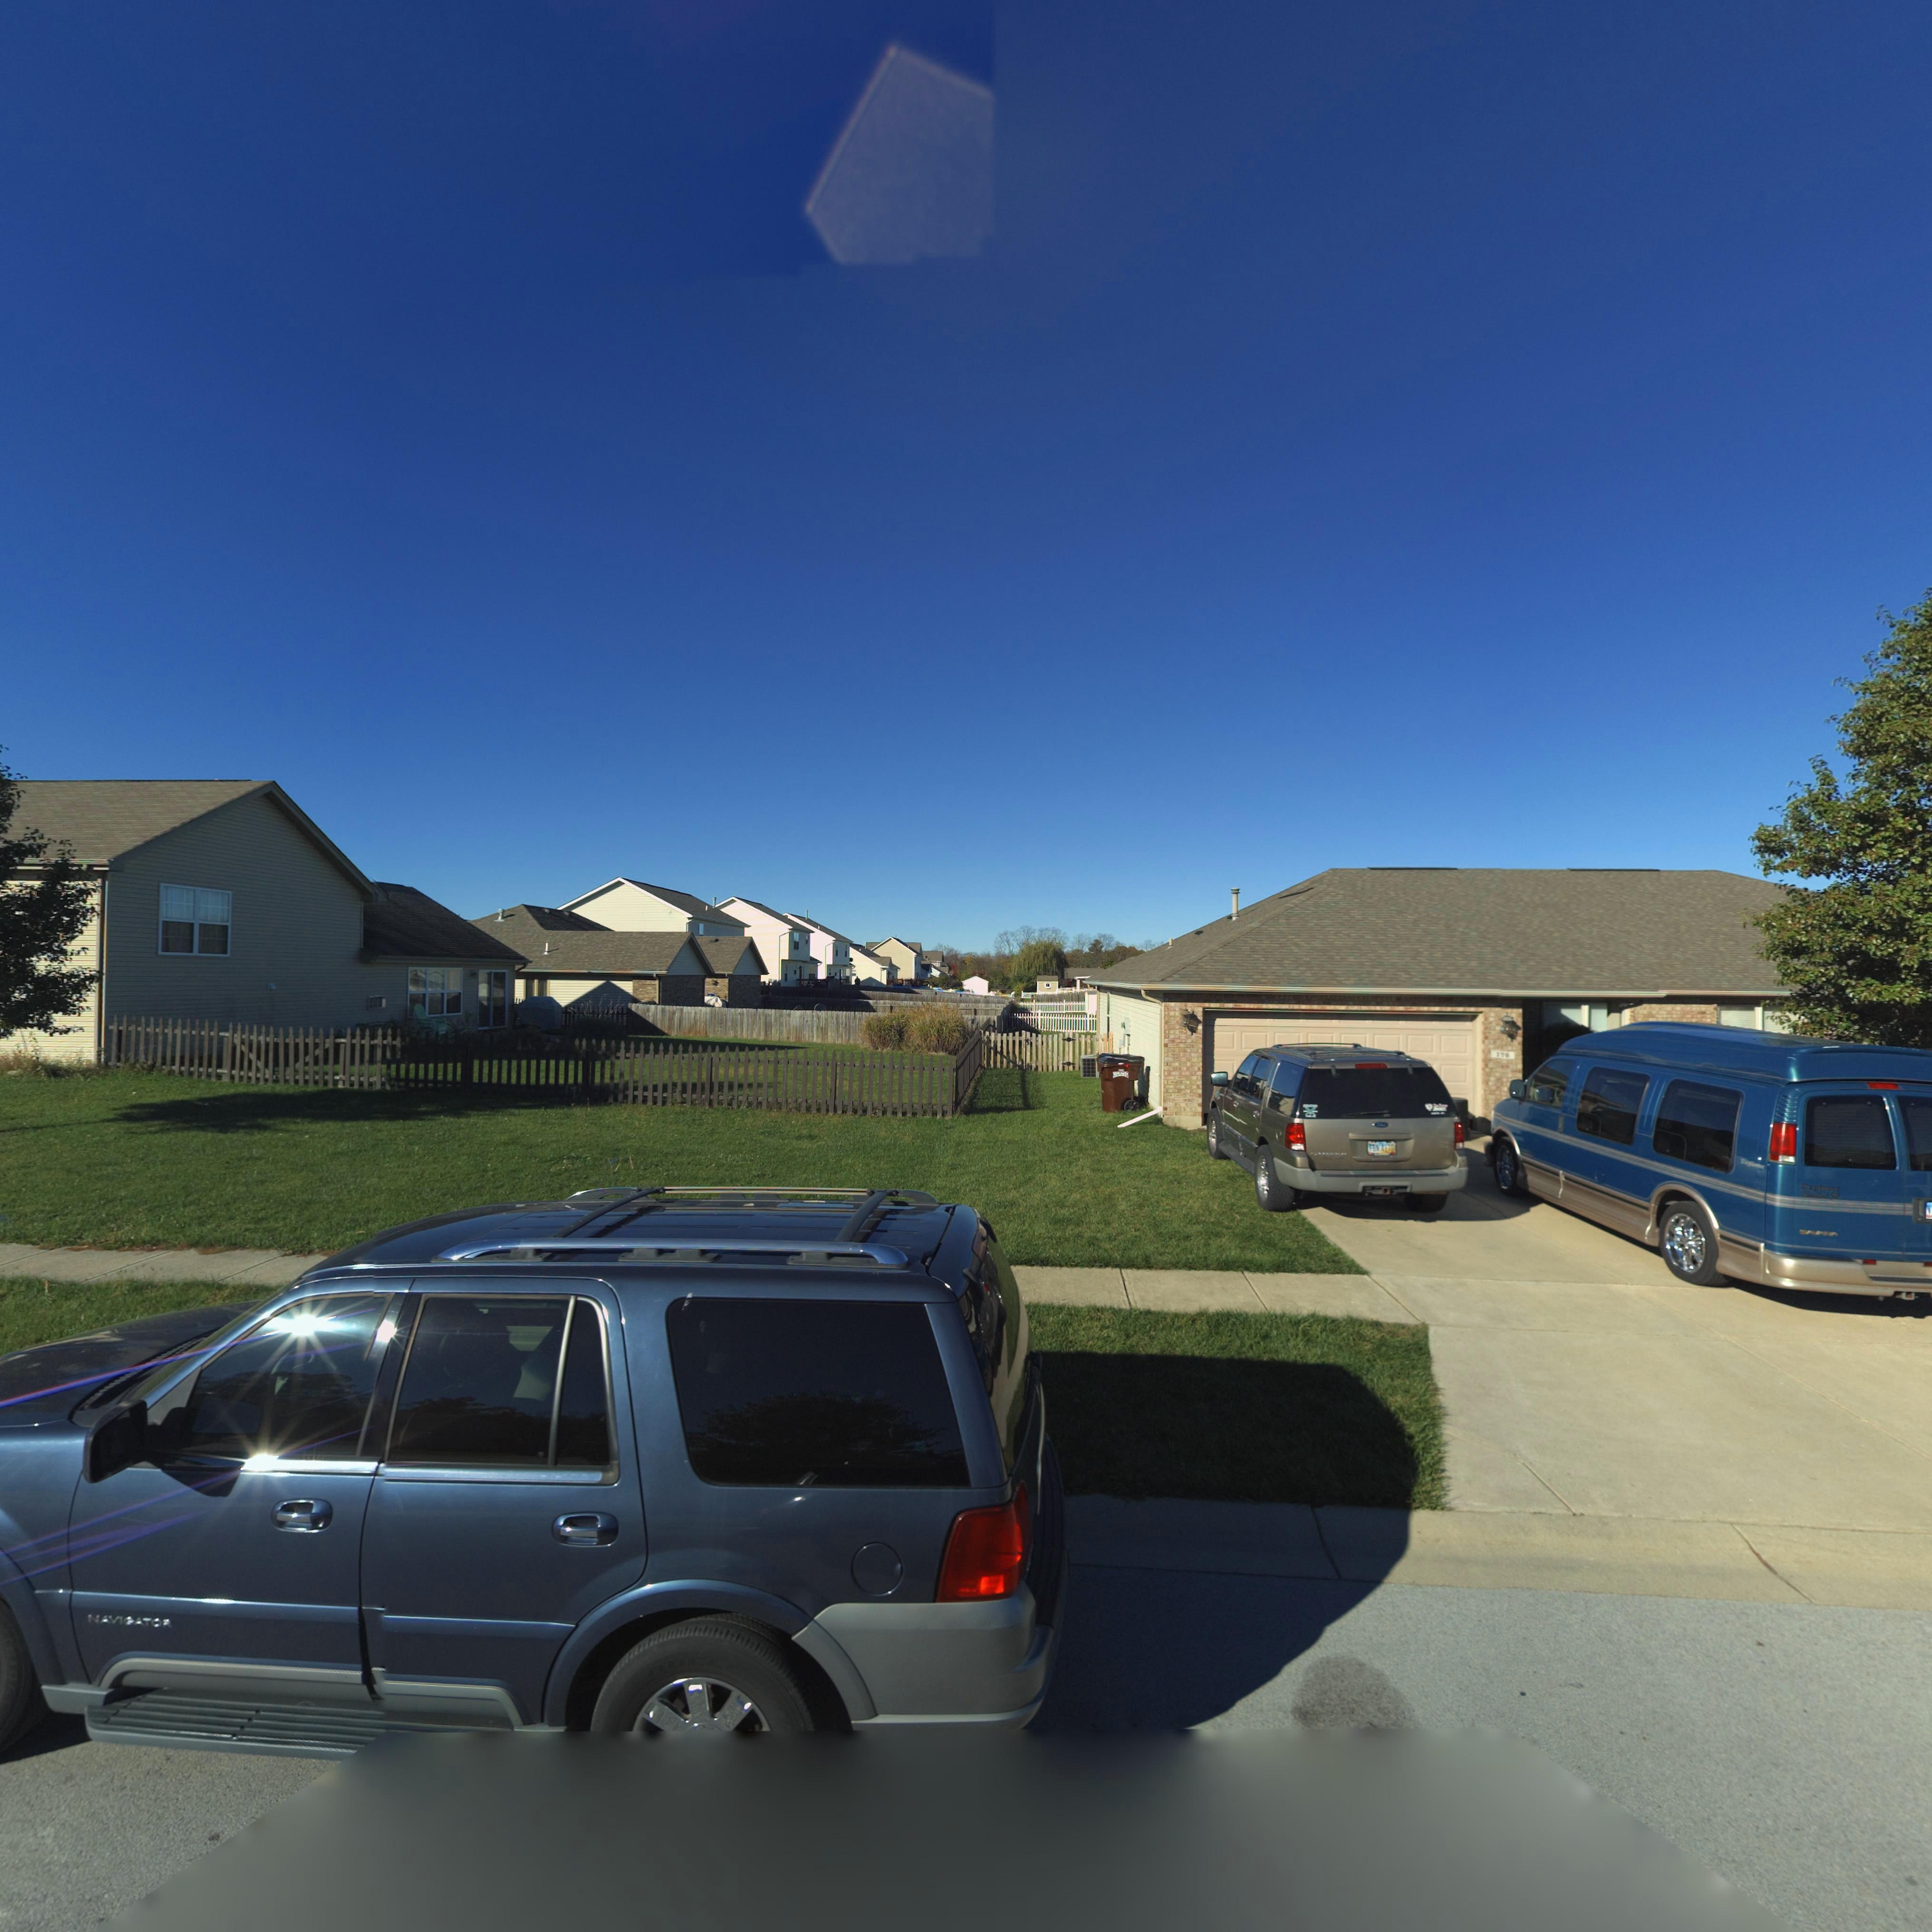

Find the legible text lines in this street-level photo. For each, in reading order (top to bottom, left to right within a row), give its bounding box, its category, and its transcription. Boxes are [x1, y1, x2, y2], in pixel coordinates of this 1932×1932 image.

[1496, 1051, 1510, 1059] StreetNumber: 1*6